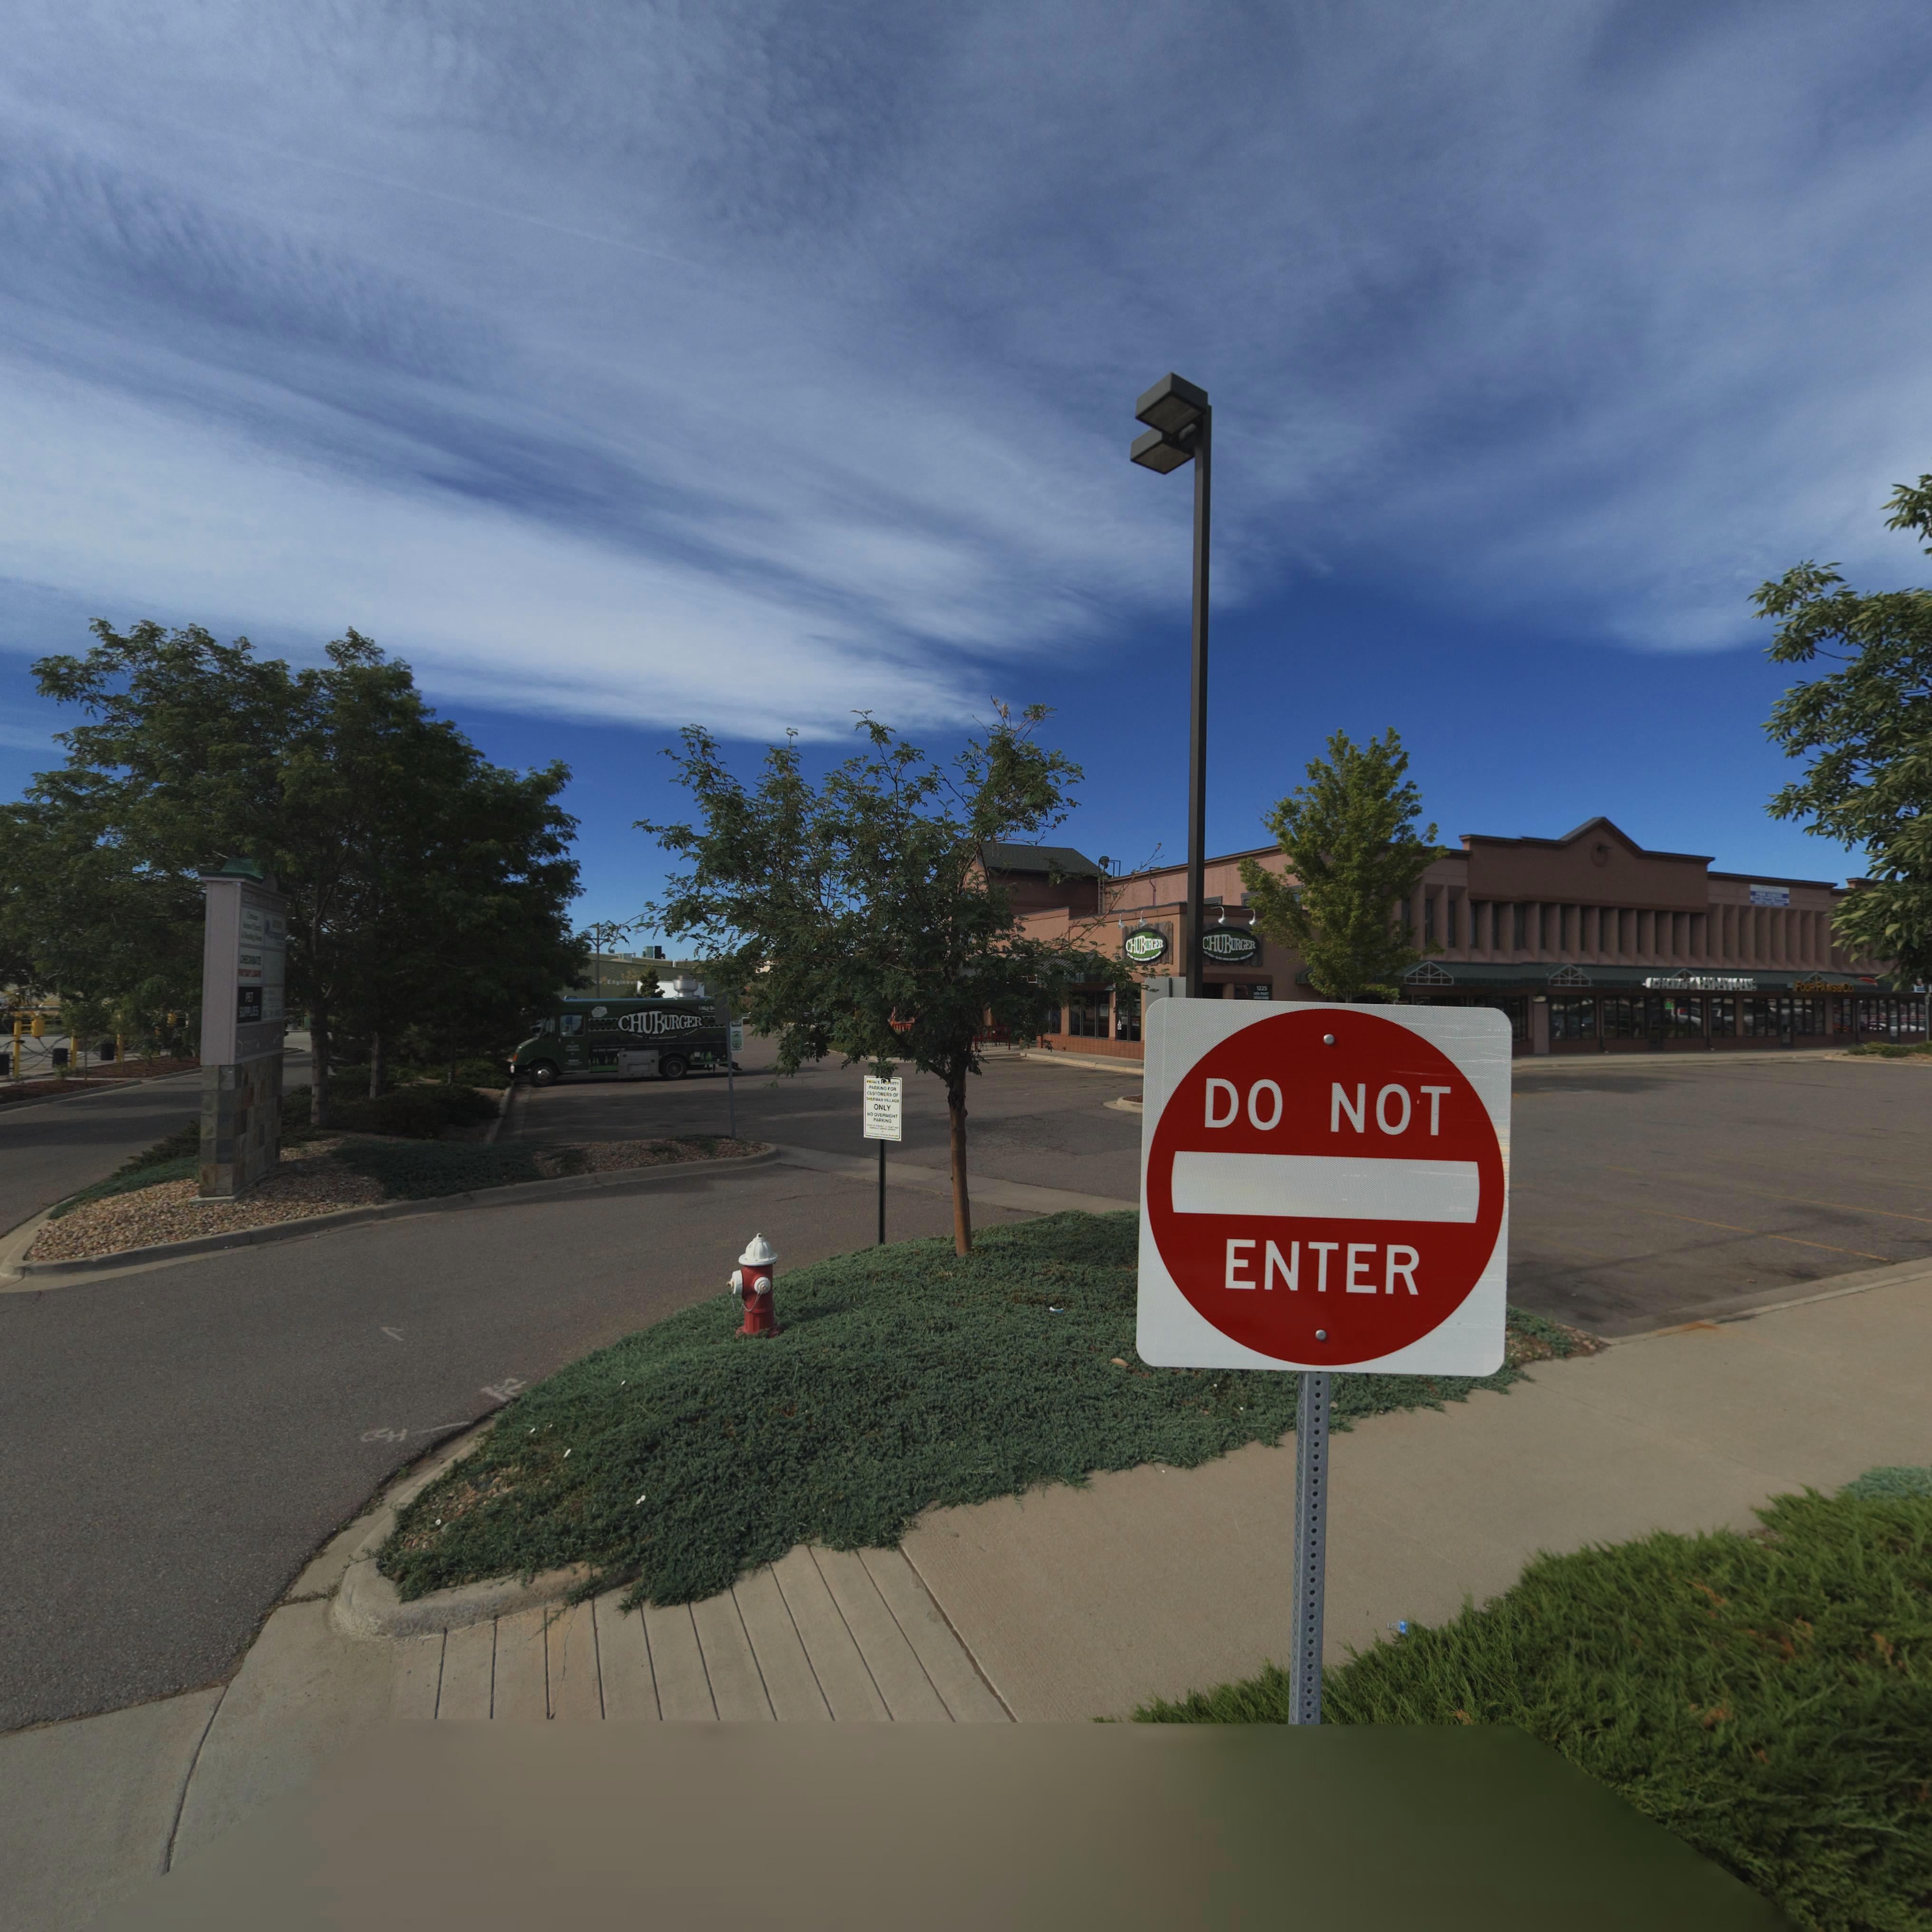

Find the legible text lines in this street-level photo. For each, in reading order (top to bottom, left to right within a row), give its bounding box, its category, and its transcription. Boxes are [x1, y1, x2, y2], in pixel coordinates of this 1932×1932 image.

[1125, 935, 1163, 954] BusinessName: CHUBURGER
[1202, 934, 1256, 953] BusinessName: CHUBURGER
[1256, 985, 1267, 990] StreetNumber: 1225
[1649, 977, 1757, 991] BusinessName: CHECKMATE*PAYDAY LOANS
[1795, 980, 1854, 992] BusinessName: Four Paws * Co
[245, 992, 253, 1002] BusinessName: PET
[239, 1005, 258, 1017] BusinessName: SUPPLIES
[617, 1011, 703, 1034] BusinessName: CHUBURGER